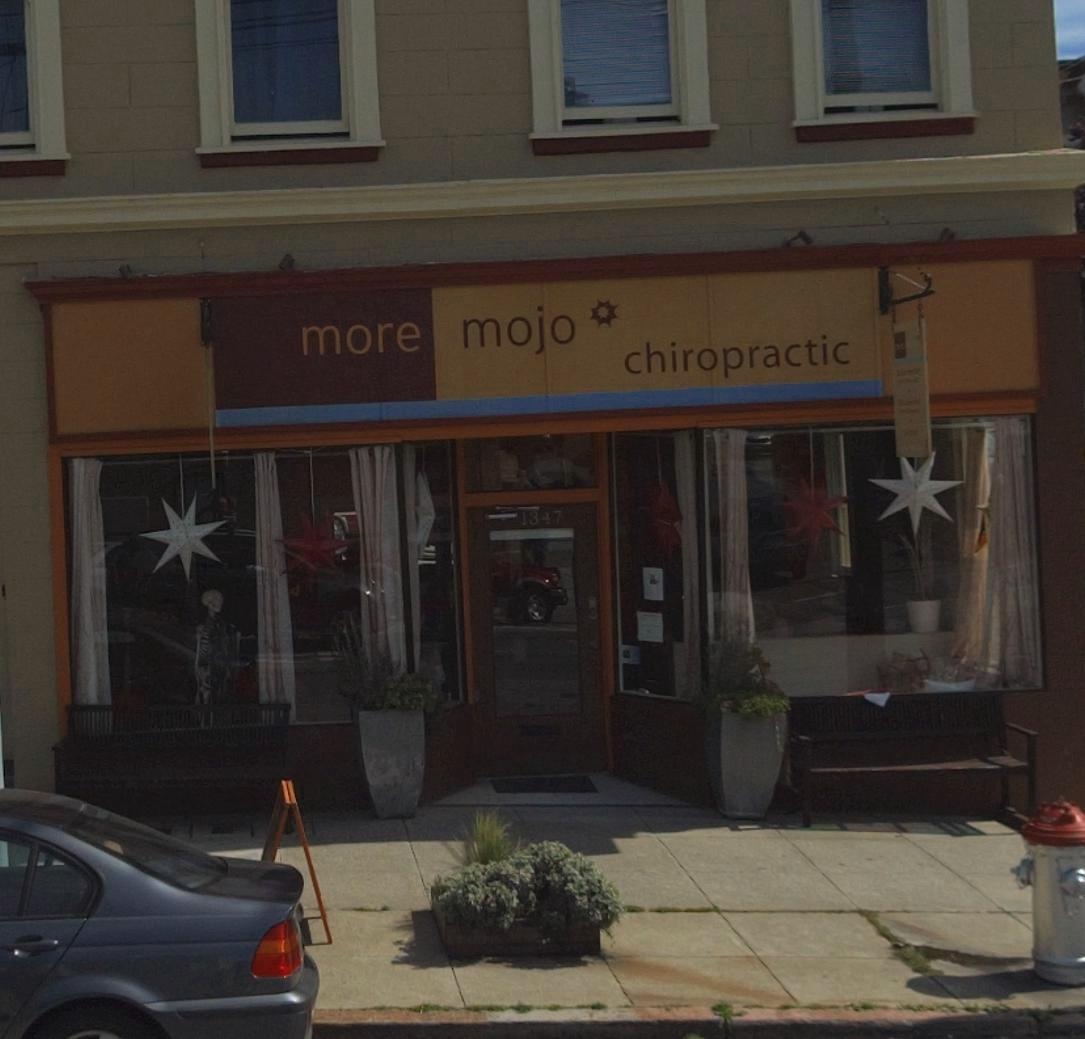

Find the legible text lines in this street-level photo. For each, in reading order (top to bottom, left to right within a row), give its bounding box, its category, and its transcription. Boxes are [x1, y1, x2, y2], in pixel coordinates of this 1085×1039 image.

[300, 304, 577, 358] BusinessName: more mojo
[624, 333, 852, 380] BusinessName: chiropractic
[521, 509, 563, 527] StreetNumber: 1347